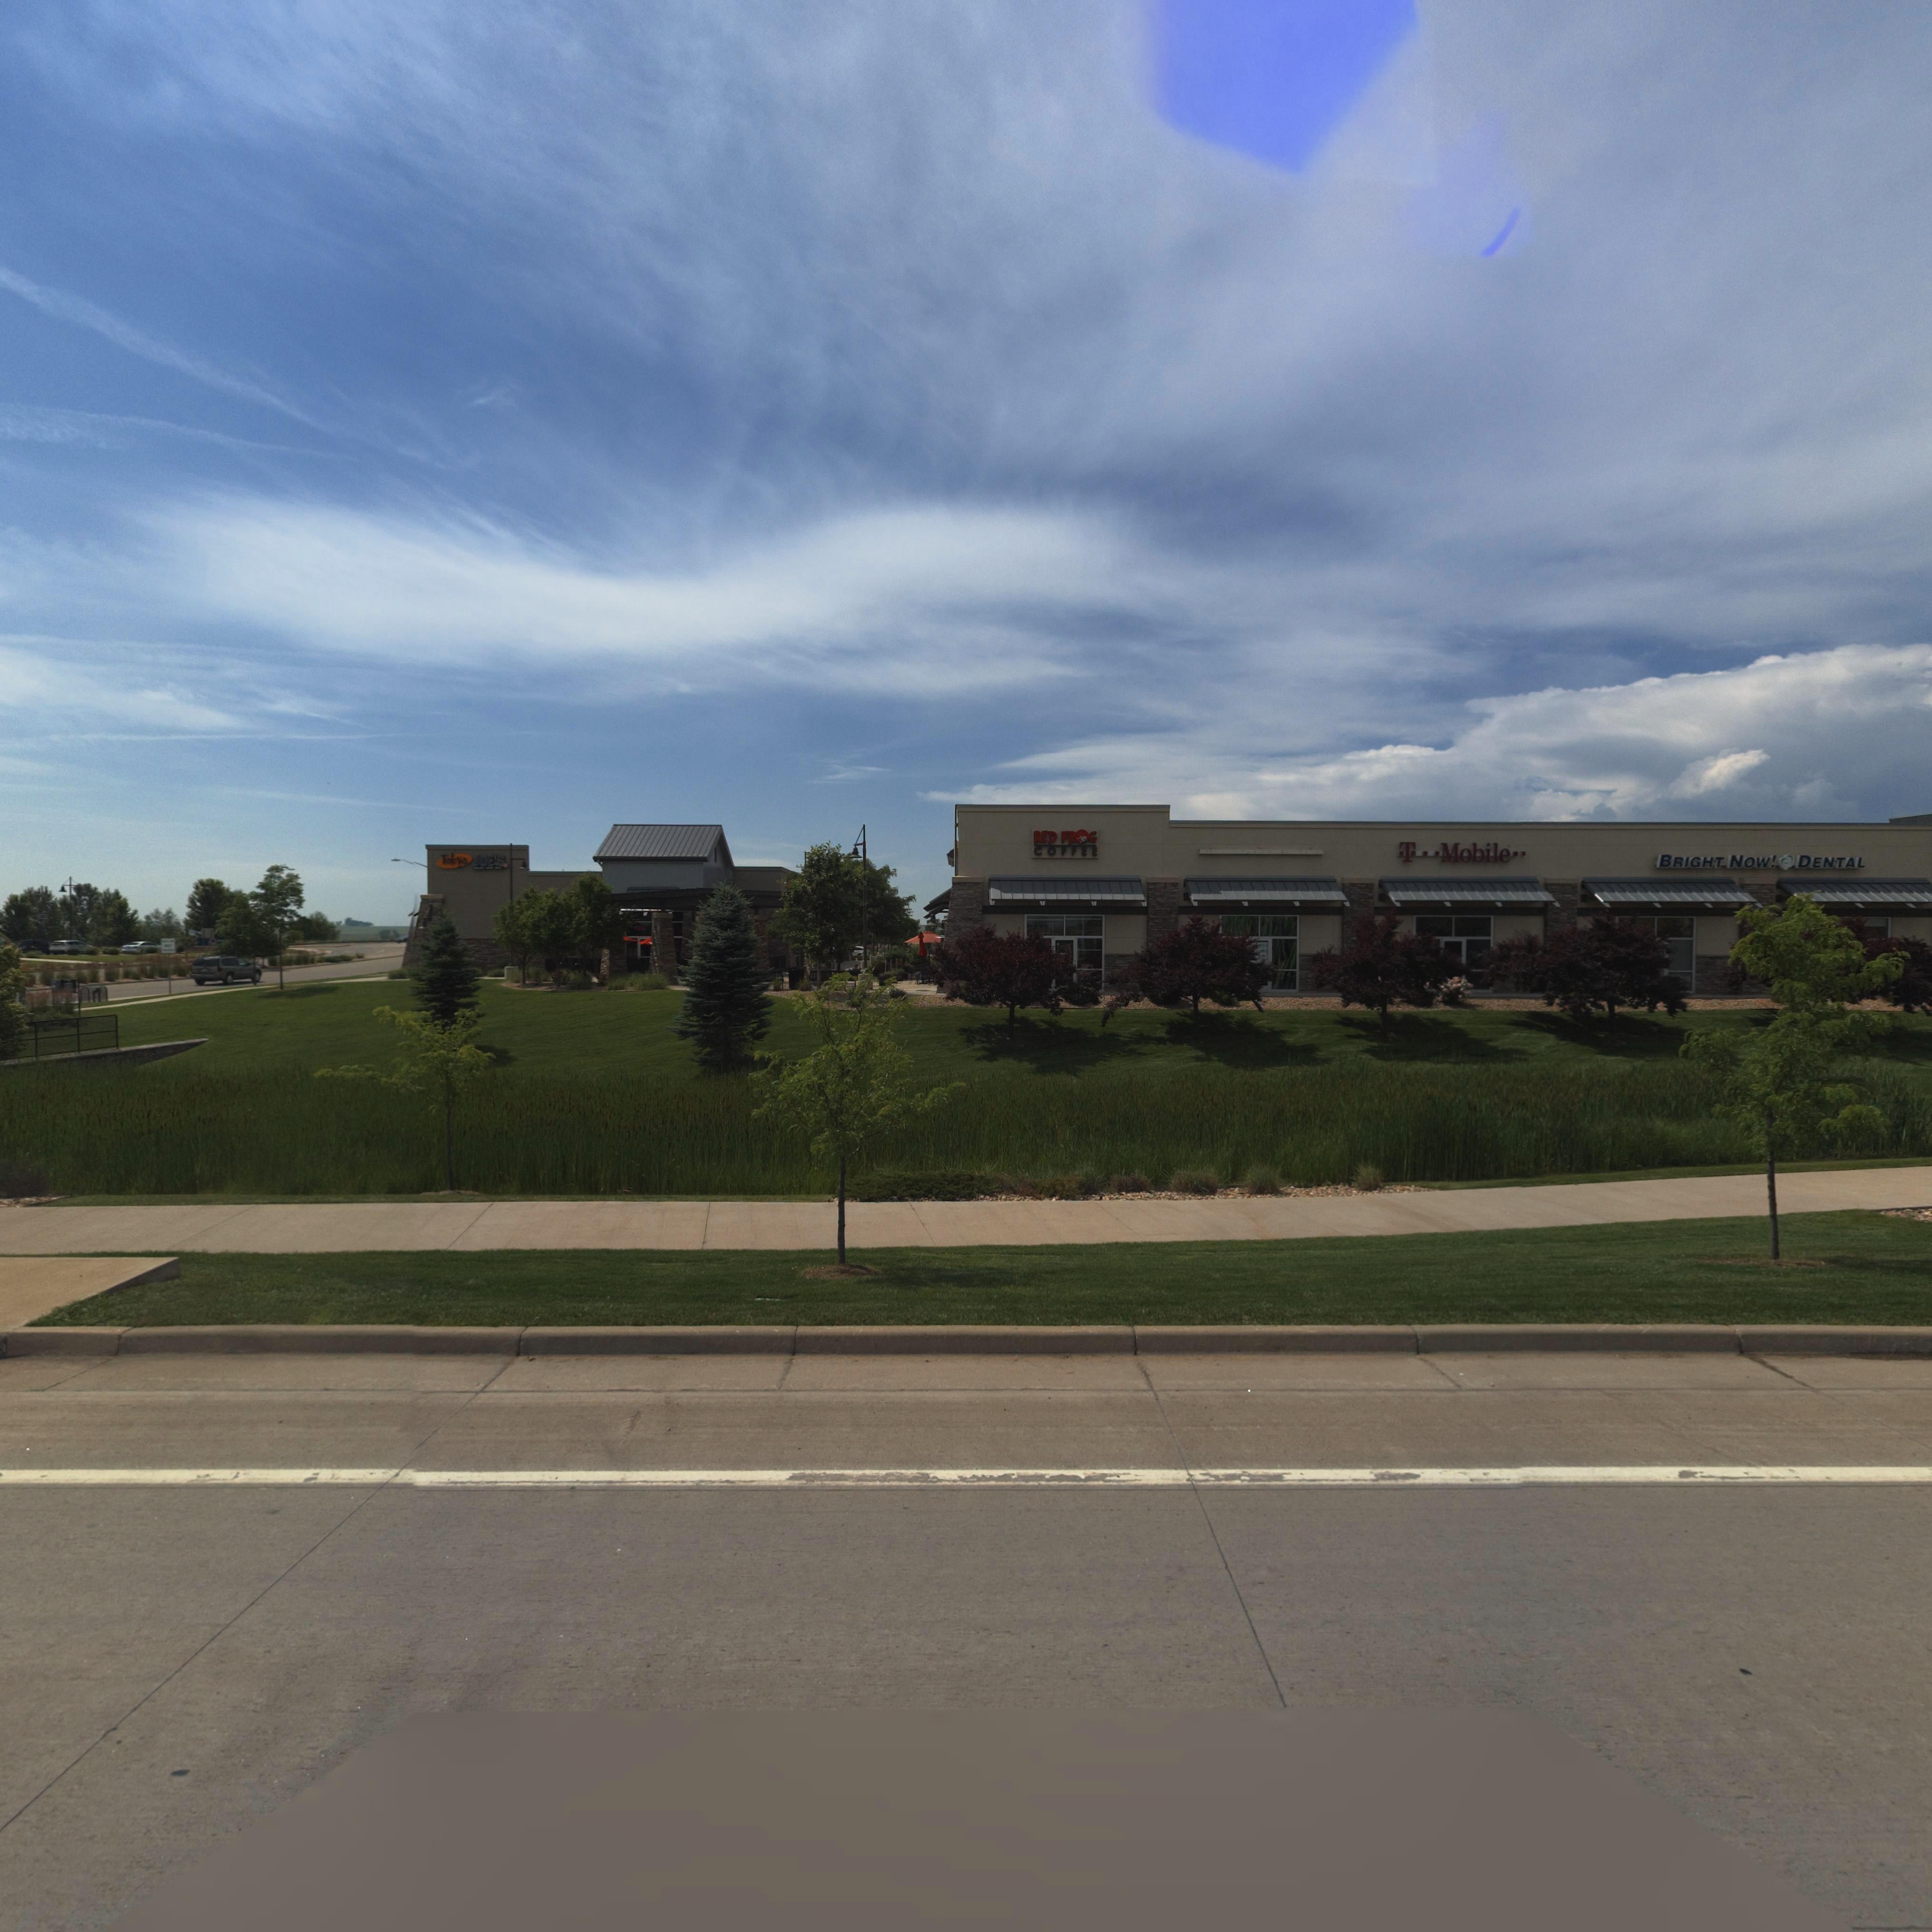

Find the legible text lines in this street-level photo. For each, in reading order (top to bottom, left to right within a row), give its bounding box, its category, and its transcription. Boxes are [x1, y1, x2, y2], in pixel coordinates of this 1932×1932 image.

[1033, 829, 1098, 845] BusinessName: RED FR*G
[440, 851, 505, 869] StreetName: Tokyo JOE'S
[1033, 846, 1099, 857] BusinessName: COFFEE
[1398, 840, 1511, 865] BusinessName: T***Mobile
[1655, 853, 1866, 870] BusinessName: BRIGHT NOW! * DENTAL